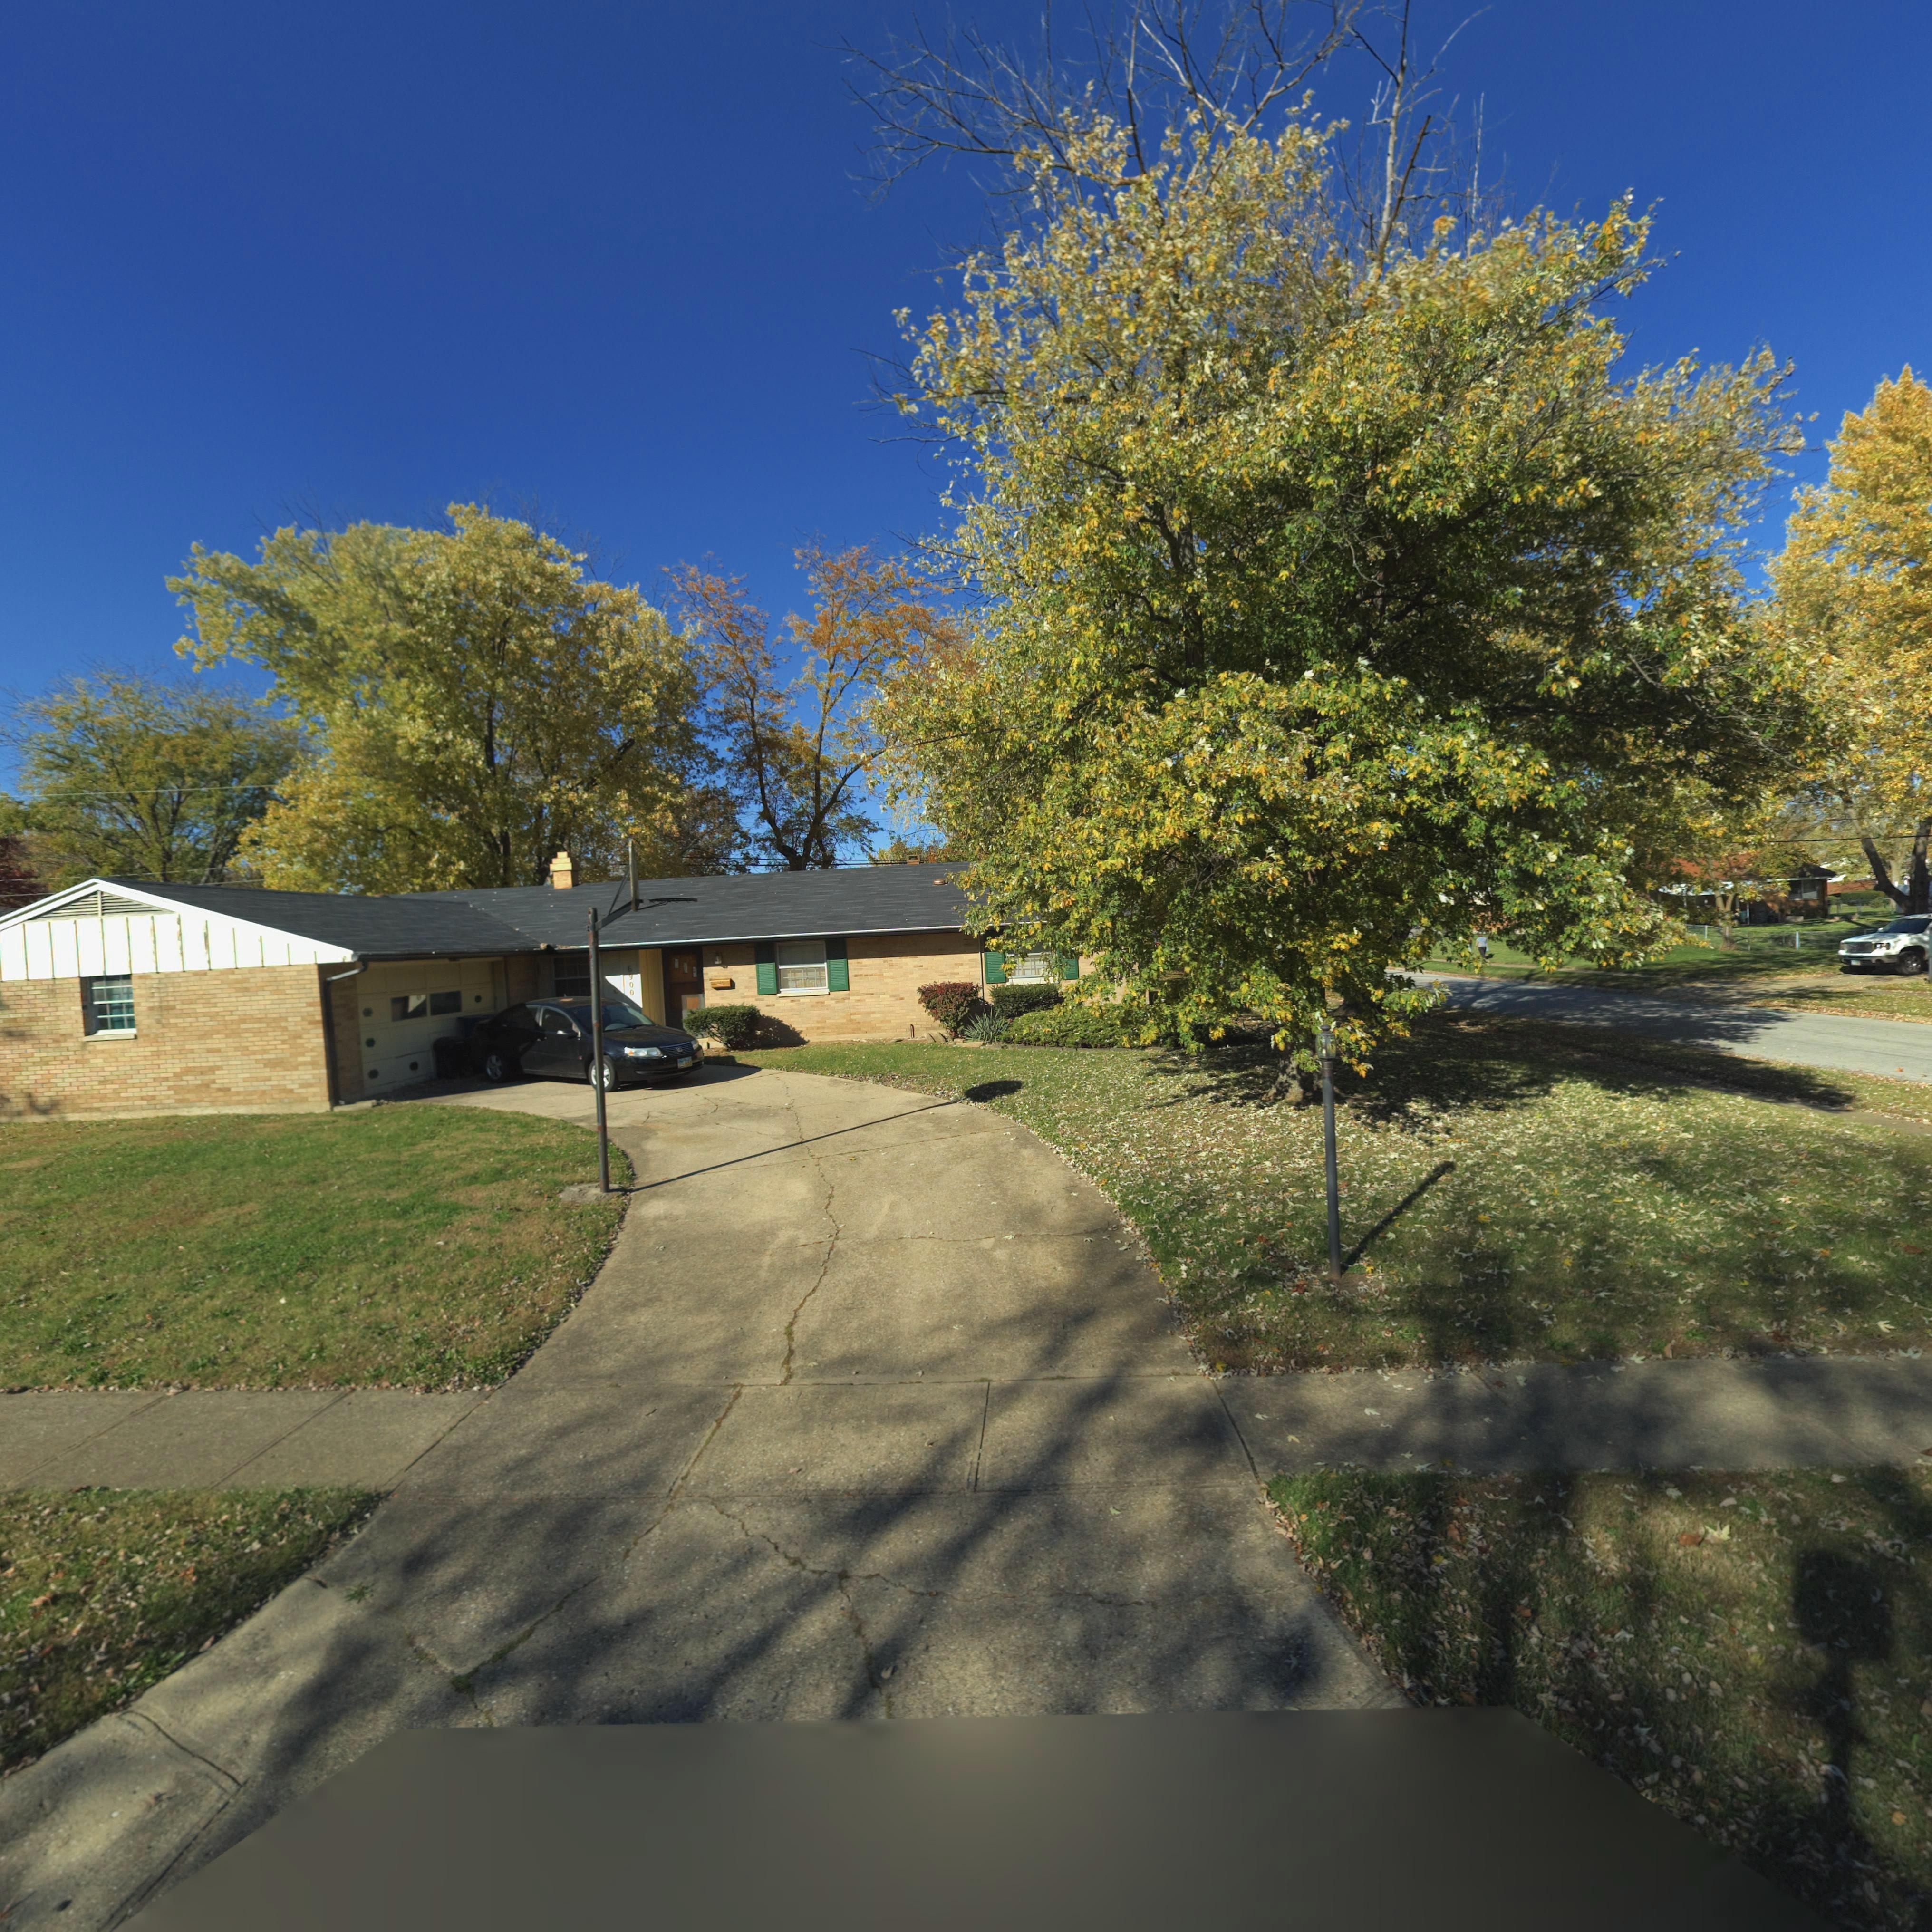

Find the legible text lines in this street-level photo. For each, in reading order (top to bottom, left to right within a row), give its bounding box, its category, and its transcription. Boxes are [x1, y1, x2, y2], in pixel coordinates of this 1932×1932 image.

[627, 965, 634, 996] StreetNumber: 6900